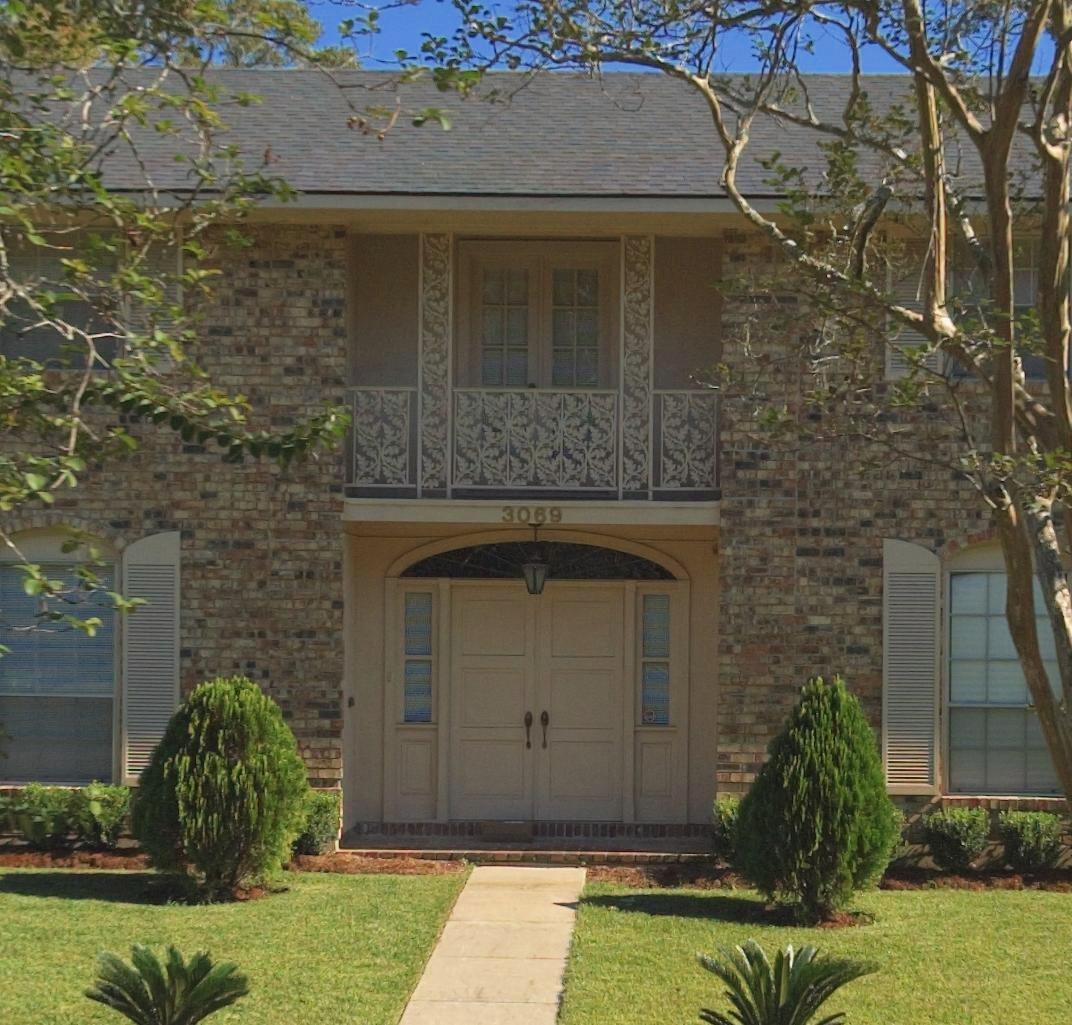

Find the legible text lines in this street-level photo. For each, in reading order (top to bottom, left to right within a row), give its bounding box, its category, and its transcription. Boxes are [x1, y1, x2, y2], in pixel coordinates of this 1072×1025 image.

[500, 503, 564, 526] StreetNumber: 3069